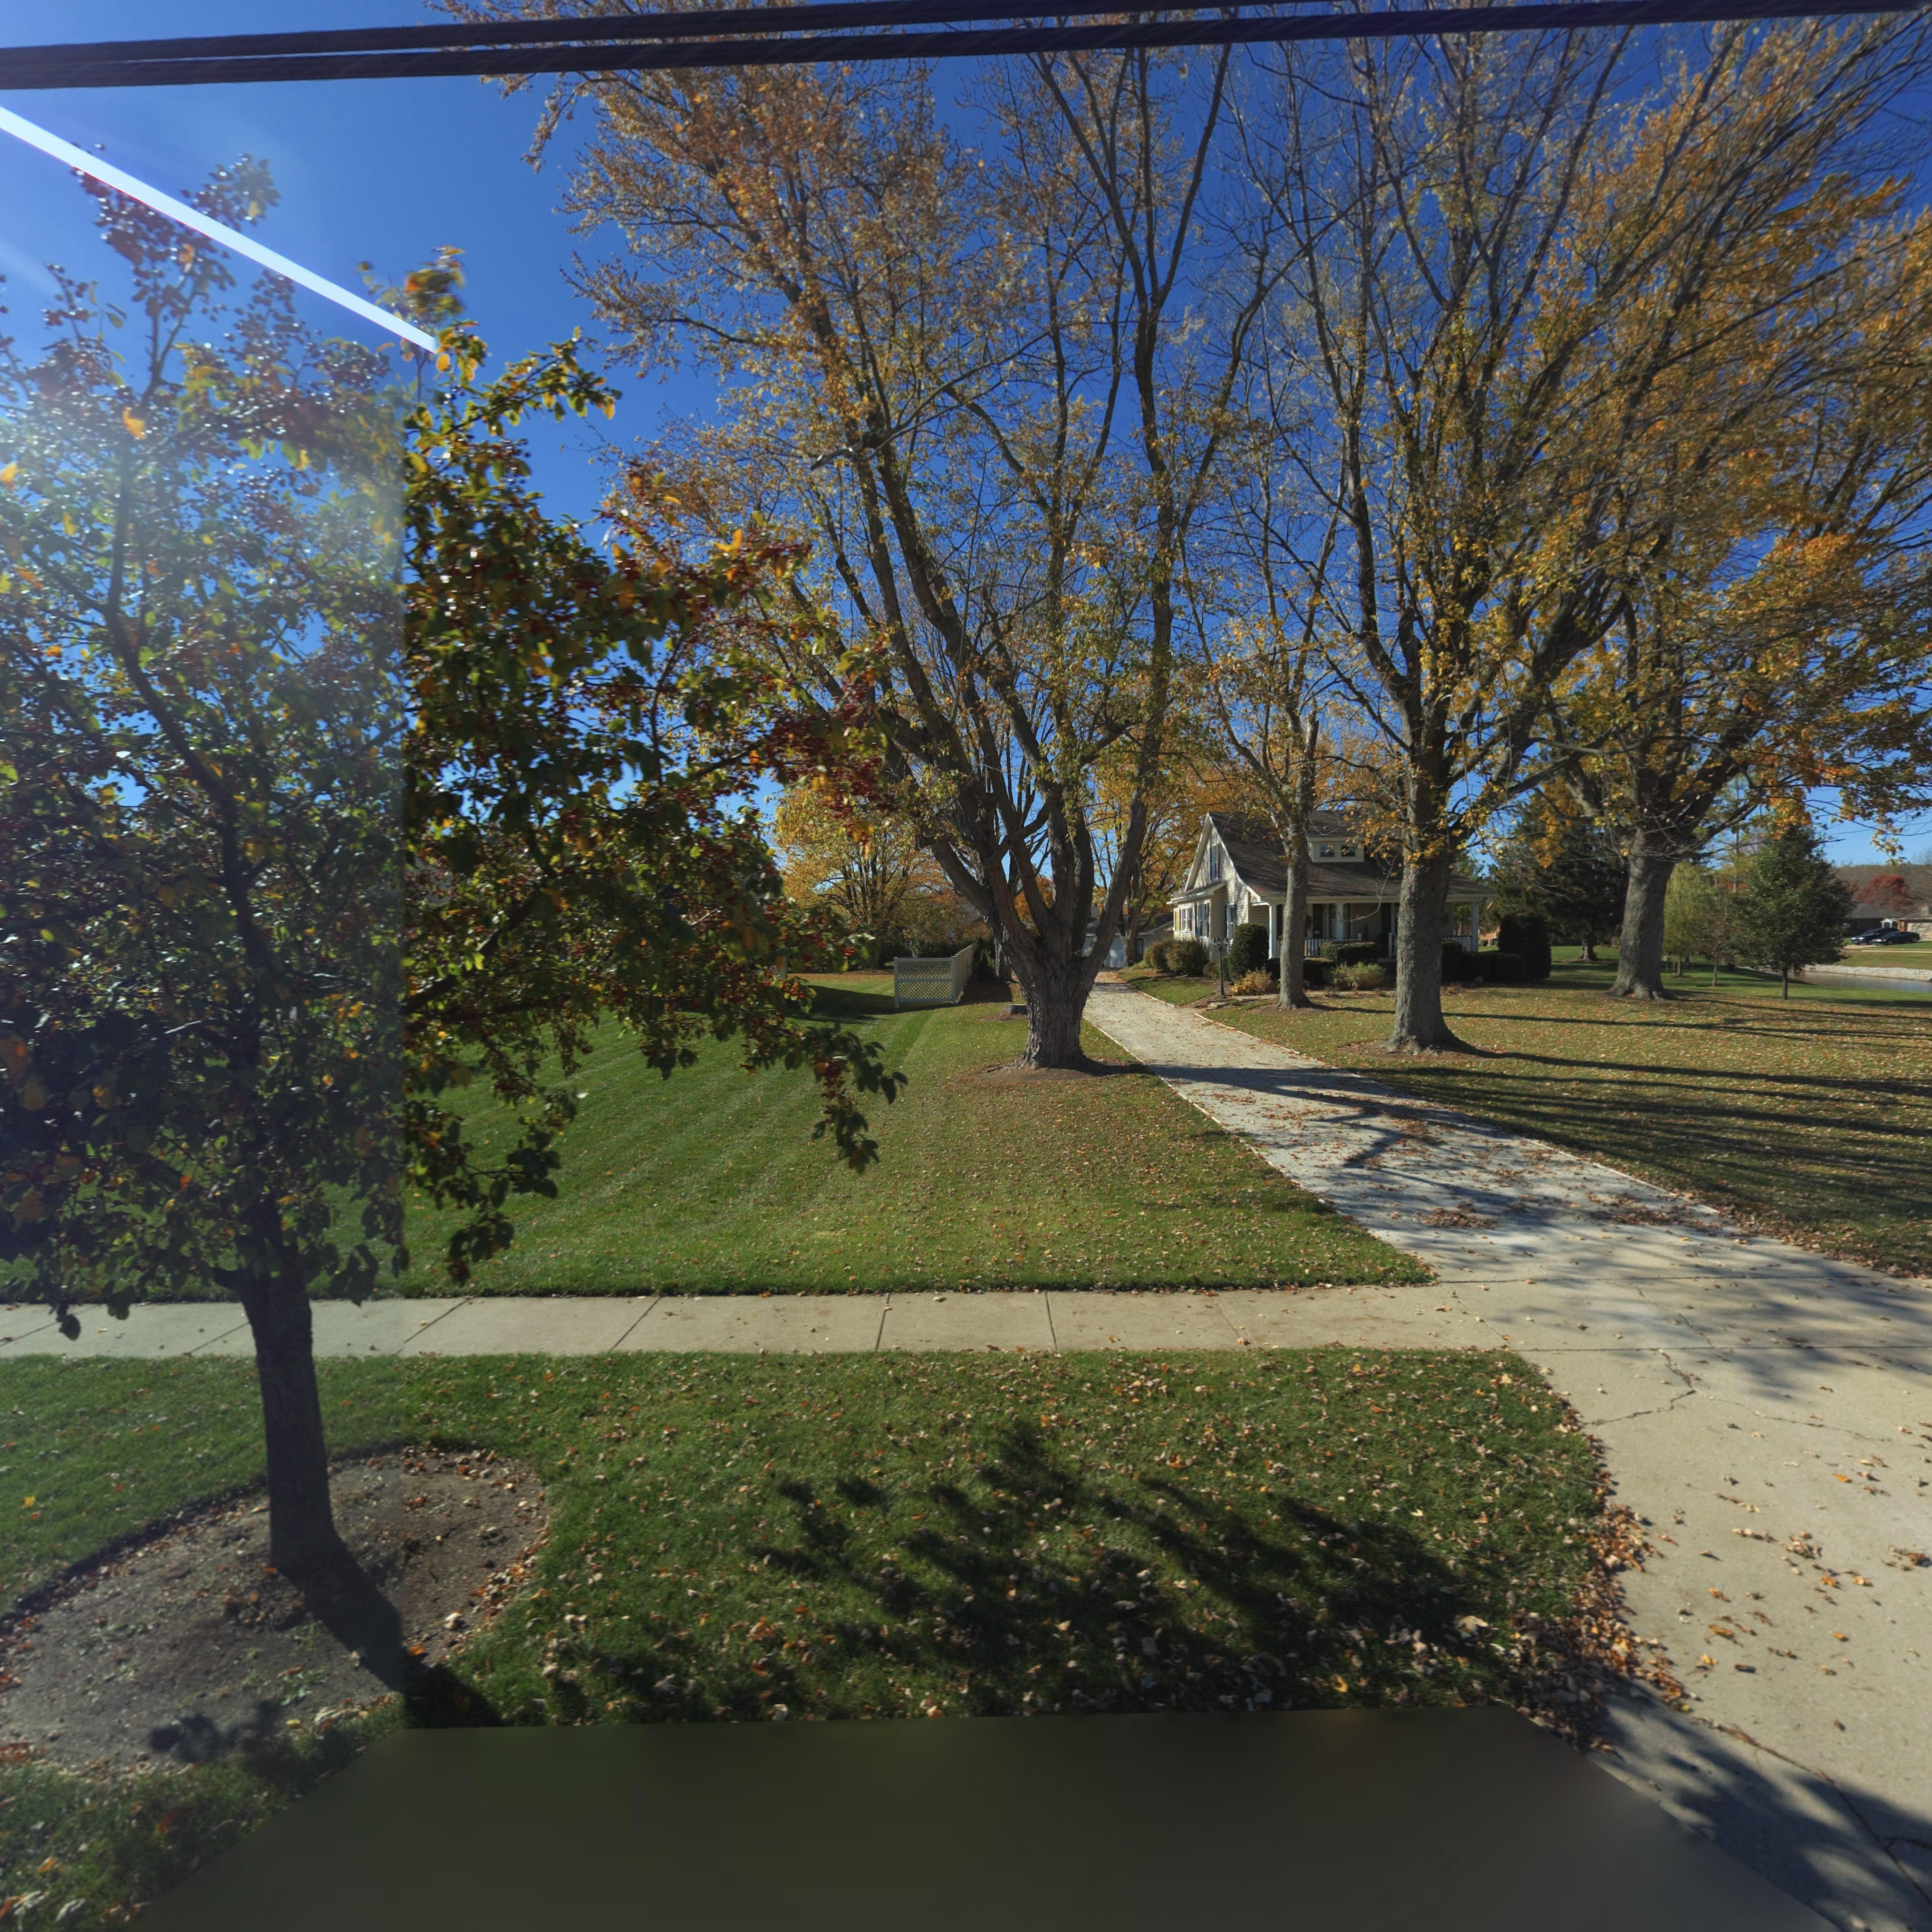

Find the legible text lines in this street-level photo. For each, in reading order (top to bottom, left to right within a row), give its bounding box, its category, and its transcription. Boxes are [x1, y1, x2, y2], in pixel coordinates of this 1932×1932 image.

[1336, 910, 1344, 924] StreetNumber: *7*